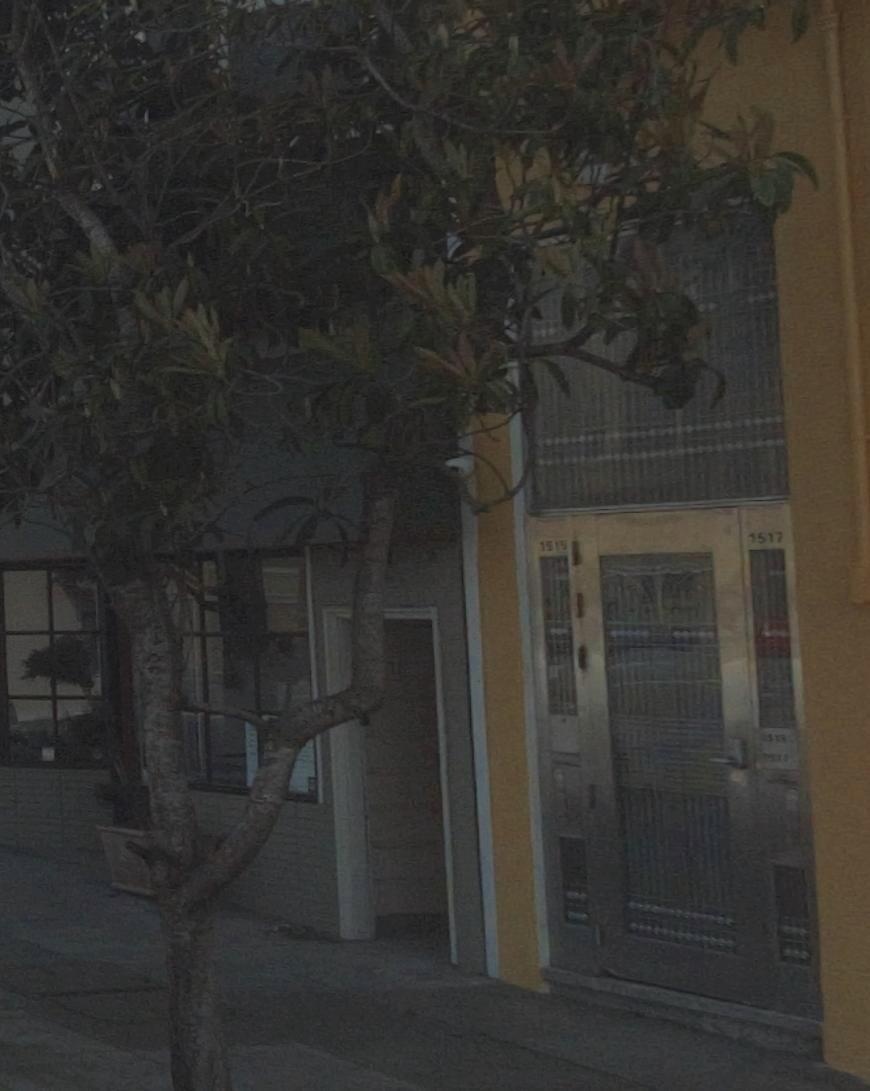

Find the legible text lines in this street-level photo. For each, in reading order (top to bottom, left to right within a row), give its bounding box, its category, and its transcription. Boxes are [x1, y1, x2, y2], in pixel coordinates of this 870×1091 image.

[747, 529, 785, 544] StreetNumber: 1517
[540, 539, 569, 553] StreetNumber: 151*